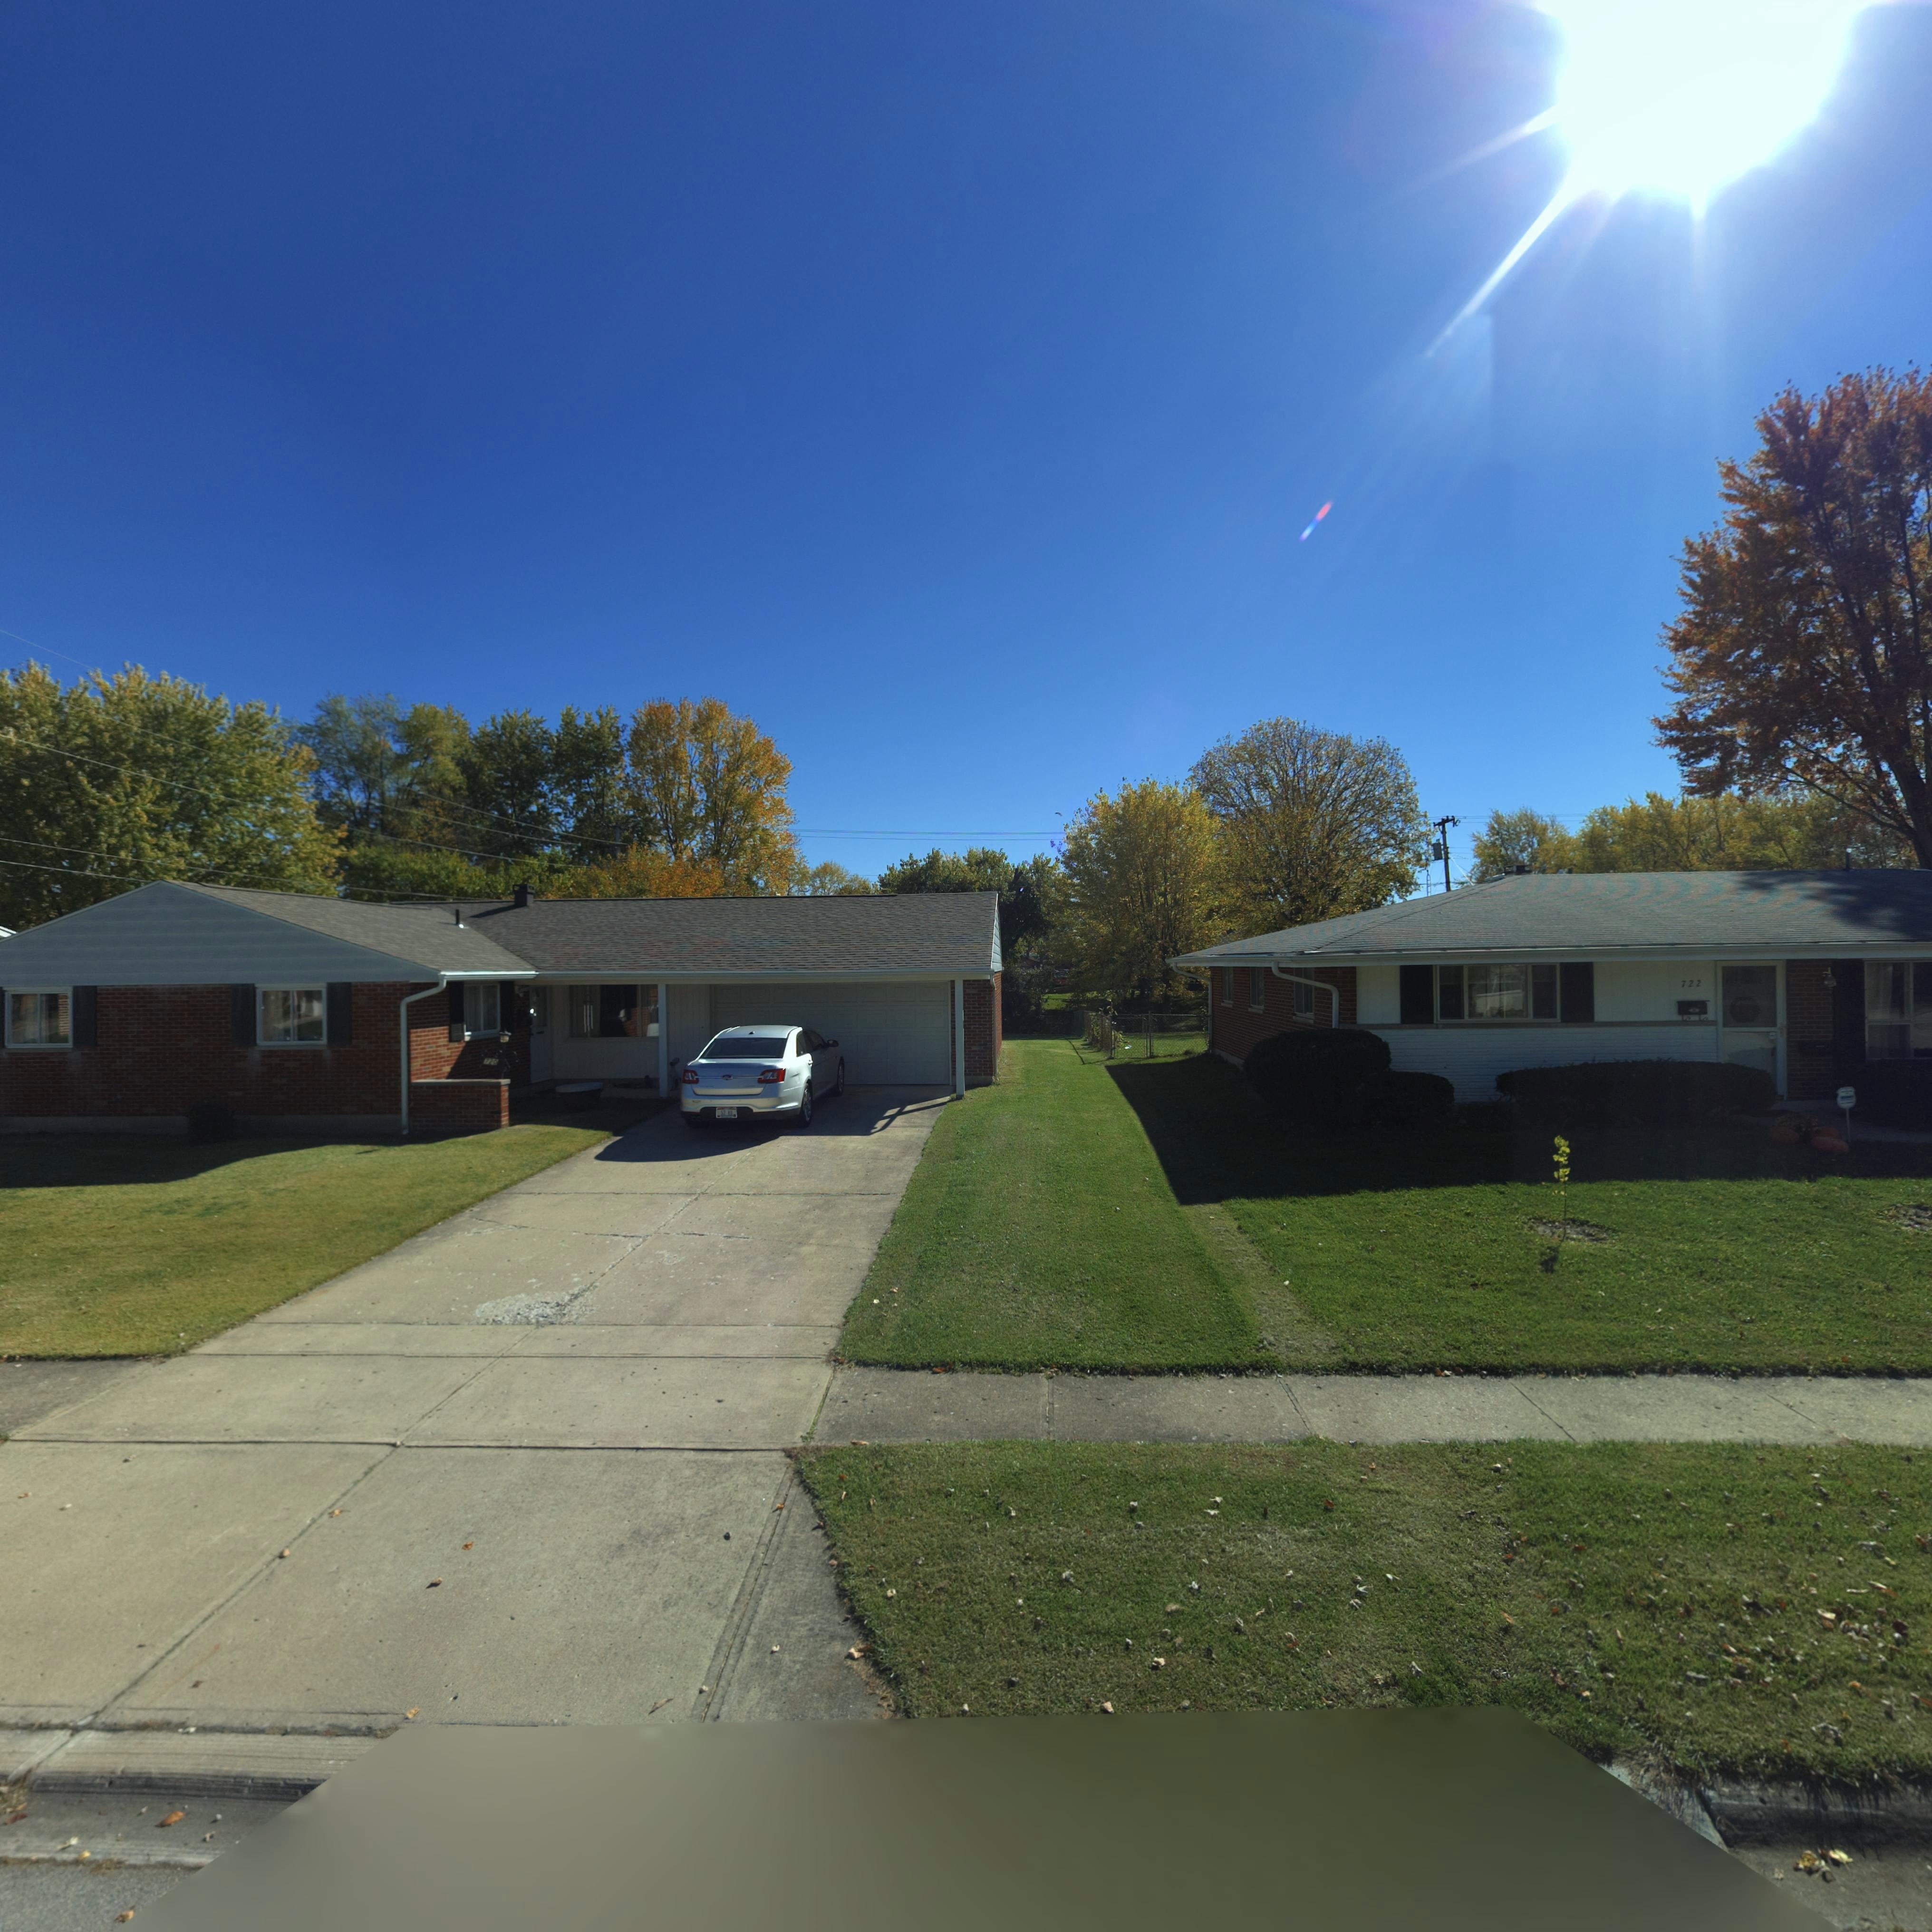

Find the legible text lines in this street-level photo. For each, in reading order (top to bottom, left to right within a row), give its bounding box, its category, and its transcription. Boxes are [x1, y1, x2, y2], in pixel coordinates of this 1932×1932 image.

[1680, 978, 1702, 988] StreetNumber: 722
[483, 1058, 499, 1066] StreetNumber: 720